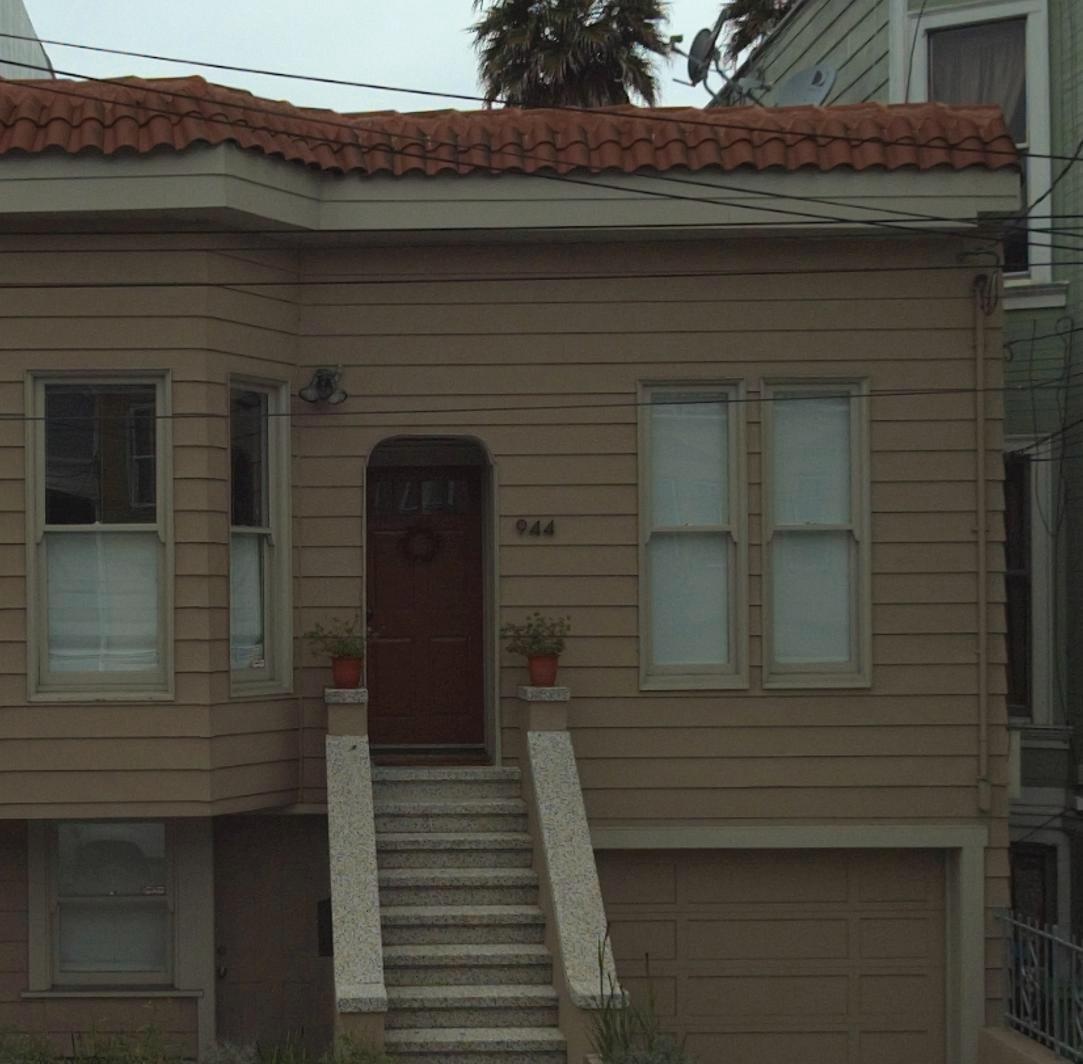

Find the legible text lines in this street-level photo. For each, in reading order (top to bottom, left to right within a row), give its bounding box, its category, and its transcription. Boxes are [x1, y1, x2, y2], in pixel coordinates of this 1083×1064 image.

[515, 518, 555, 537] StreetNumber: 944